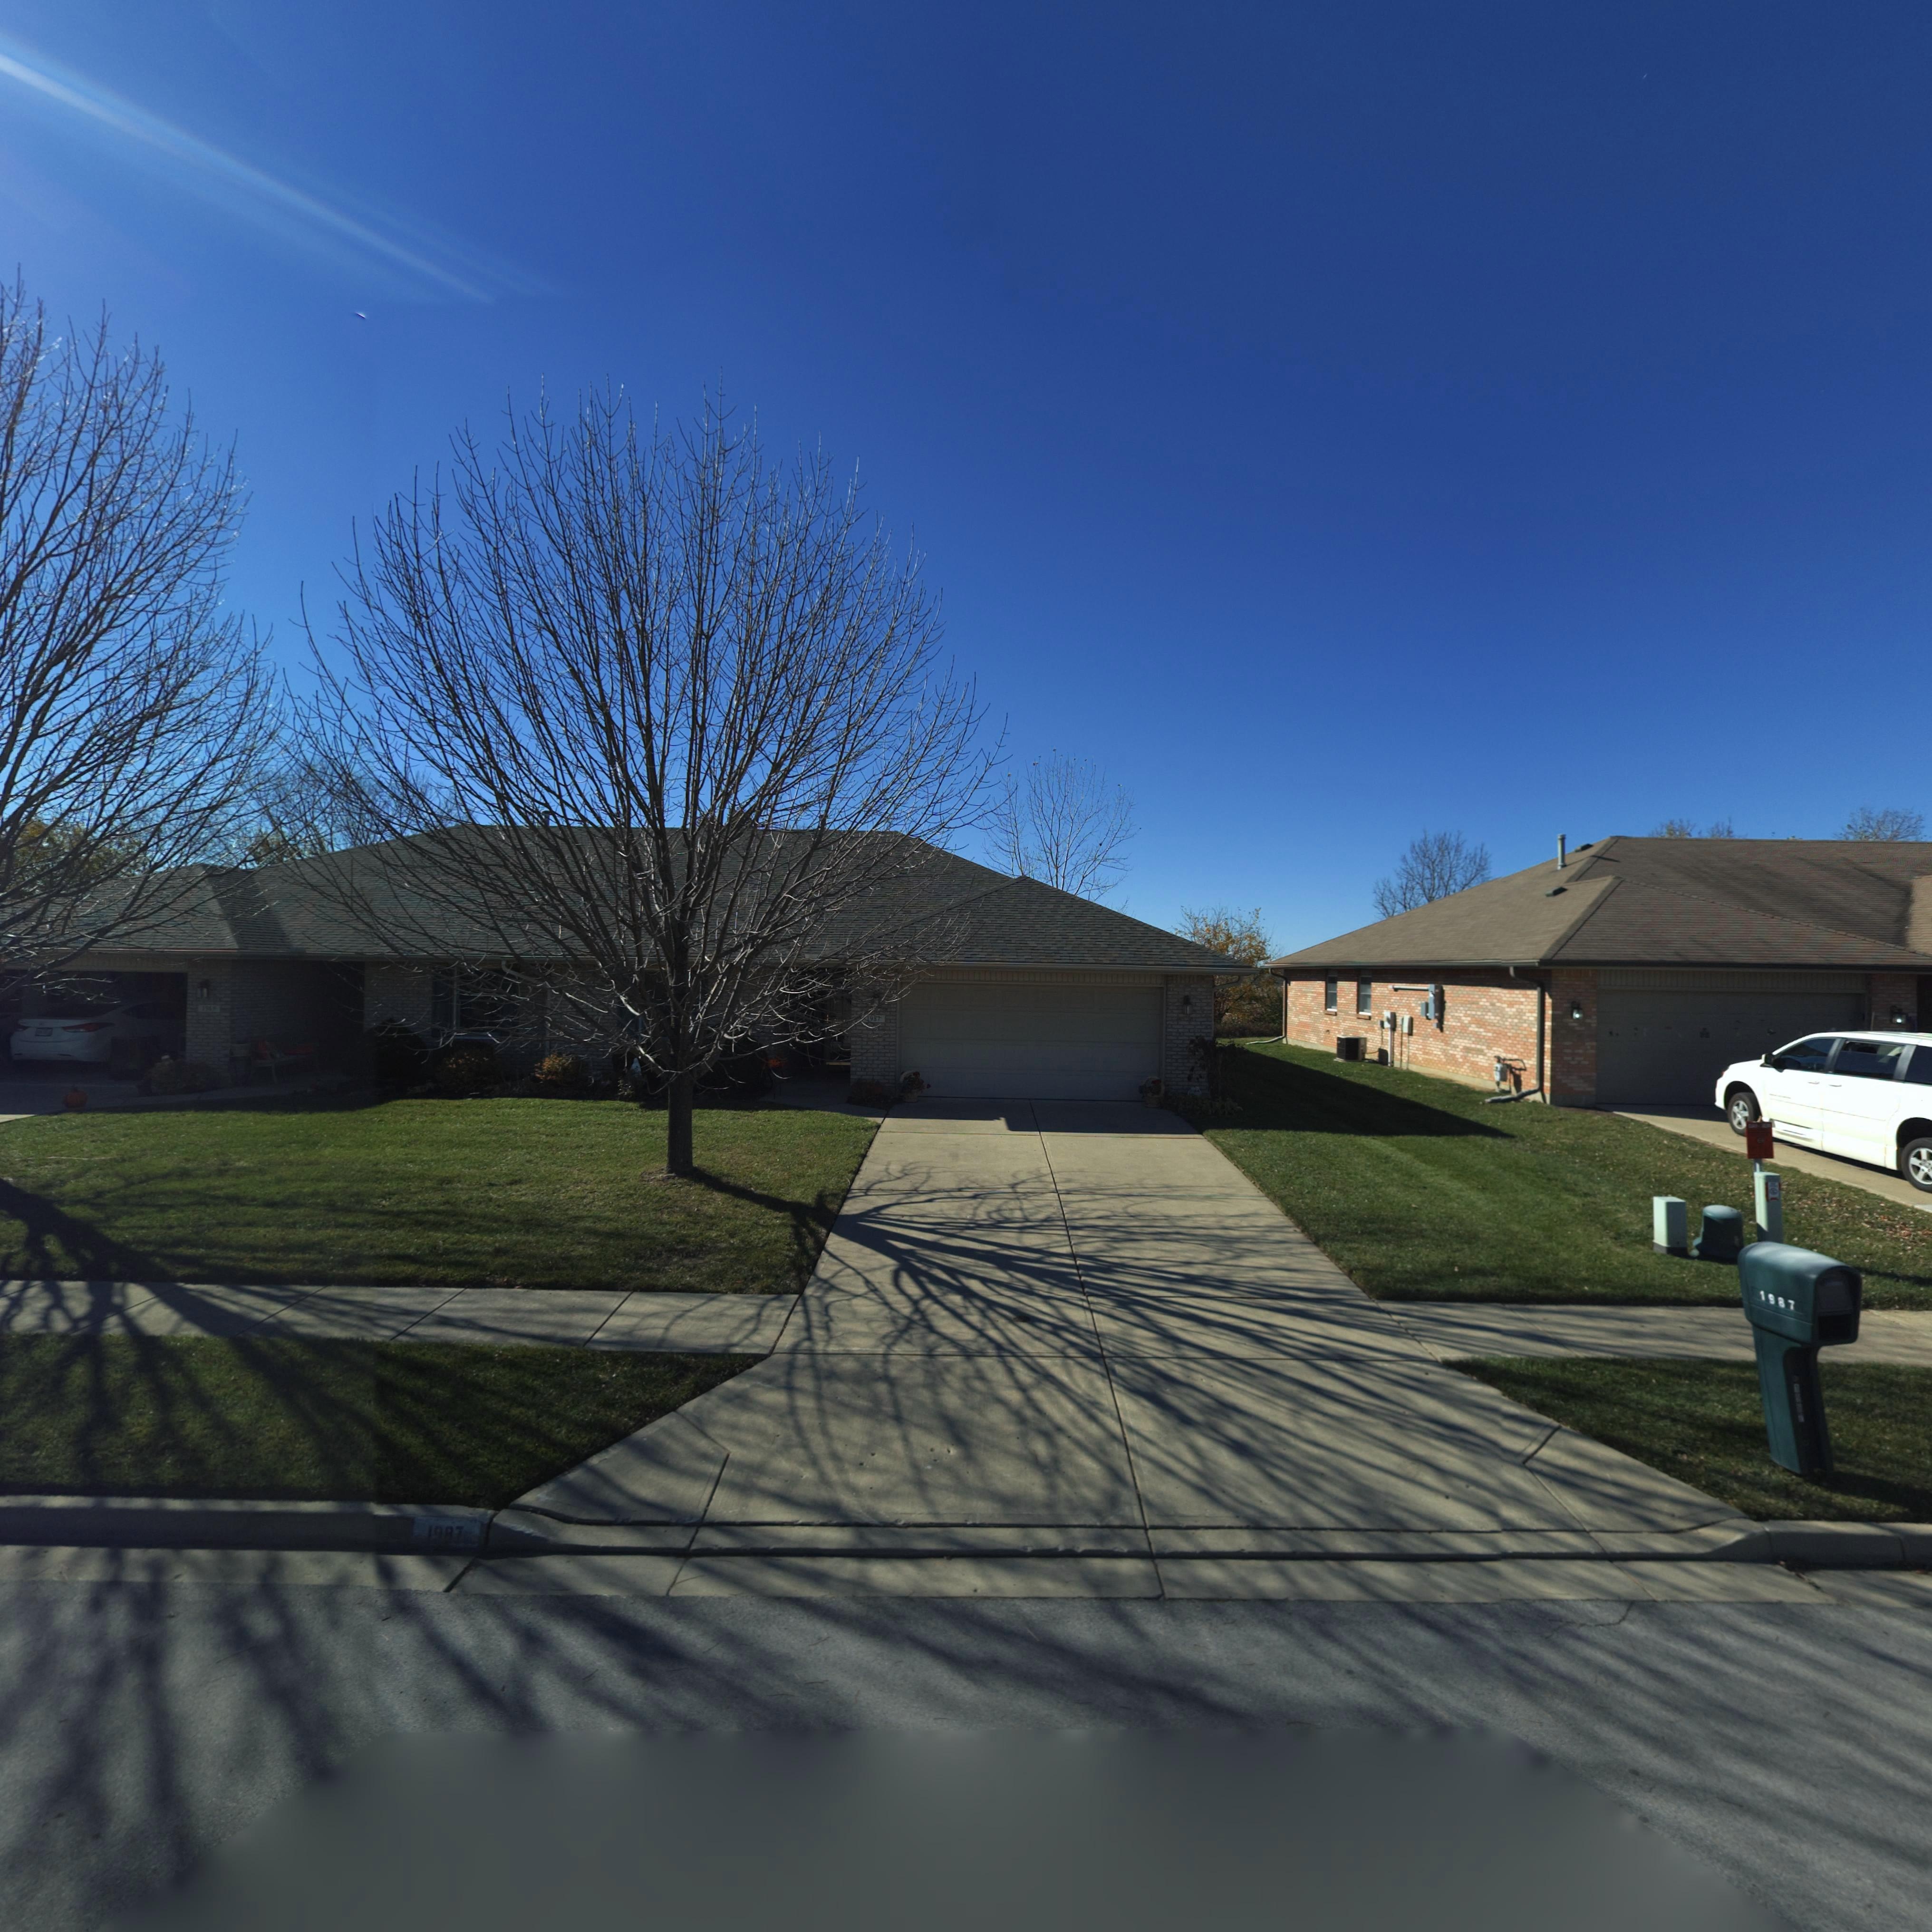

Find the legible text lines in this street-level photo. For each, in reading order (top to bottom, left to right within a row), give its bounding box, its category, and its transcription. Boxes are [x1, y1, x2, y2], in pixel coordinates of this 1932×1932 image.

[867, 1015, 881, 1022] StreetNumber: 1987
[1758, 1289, 1796, 1313] StreetNumber: 1987